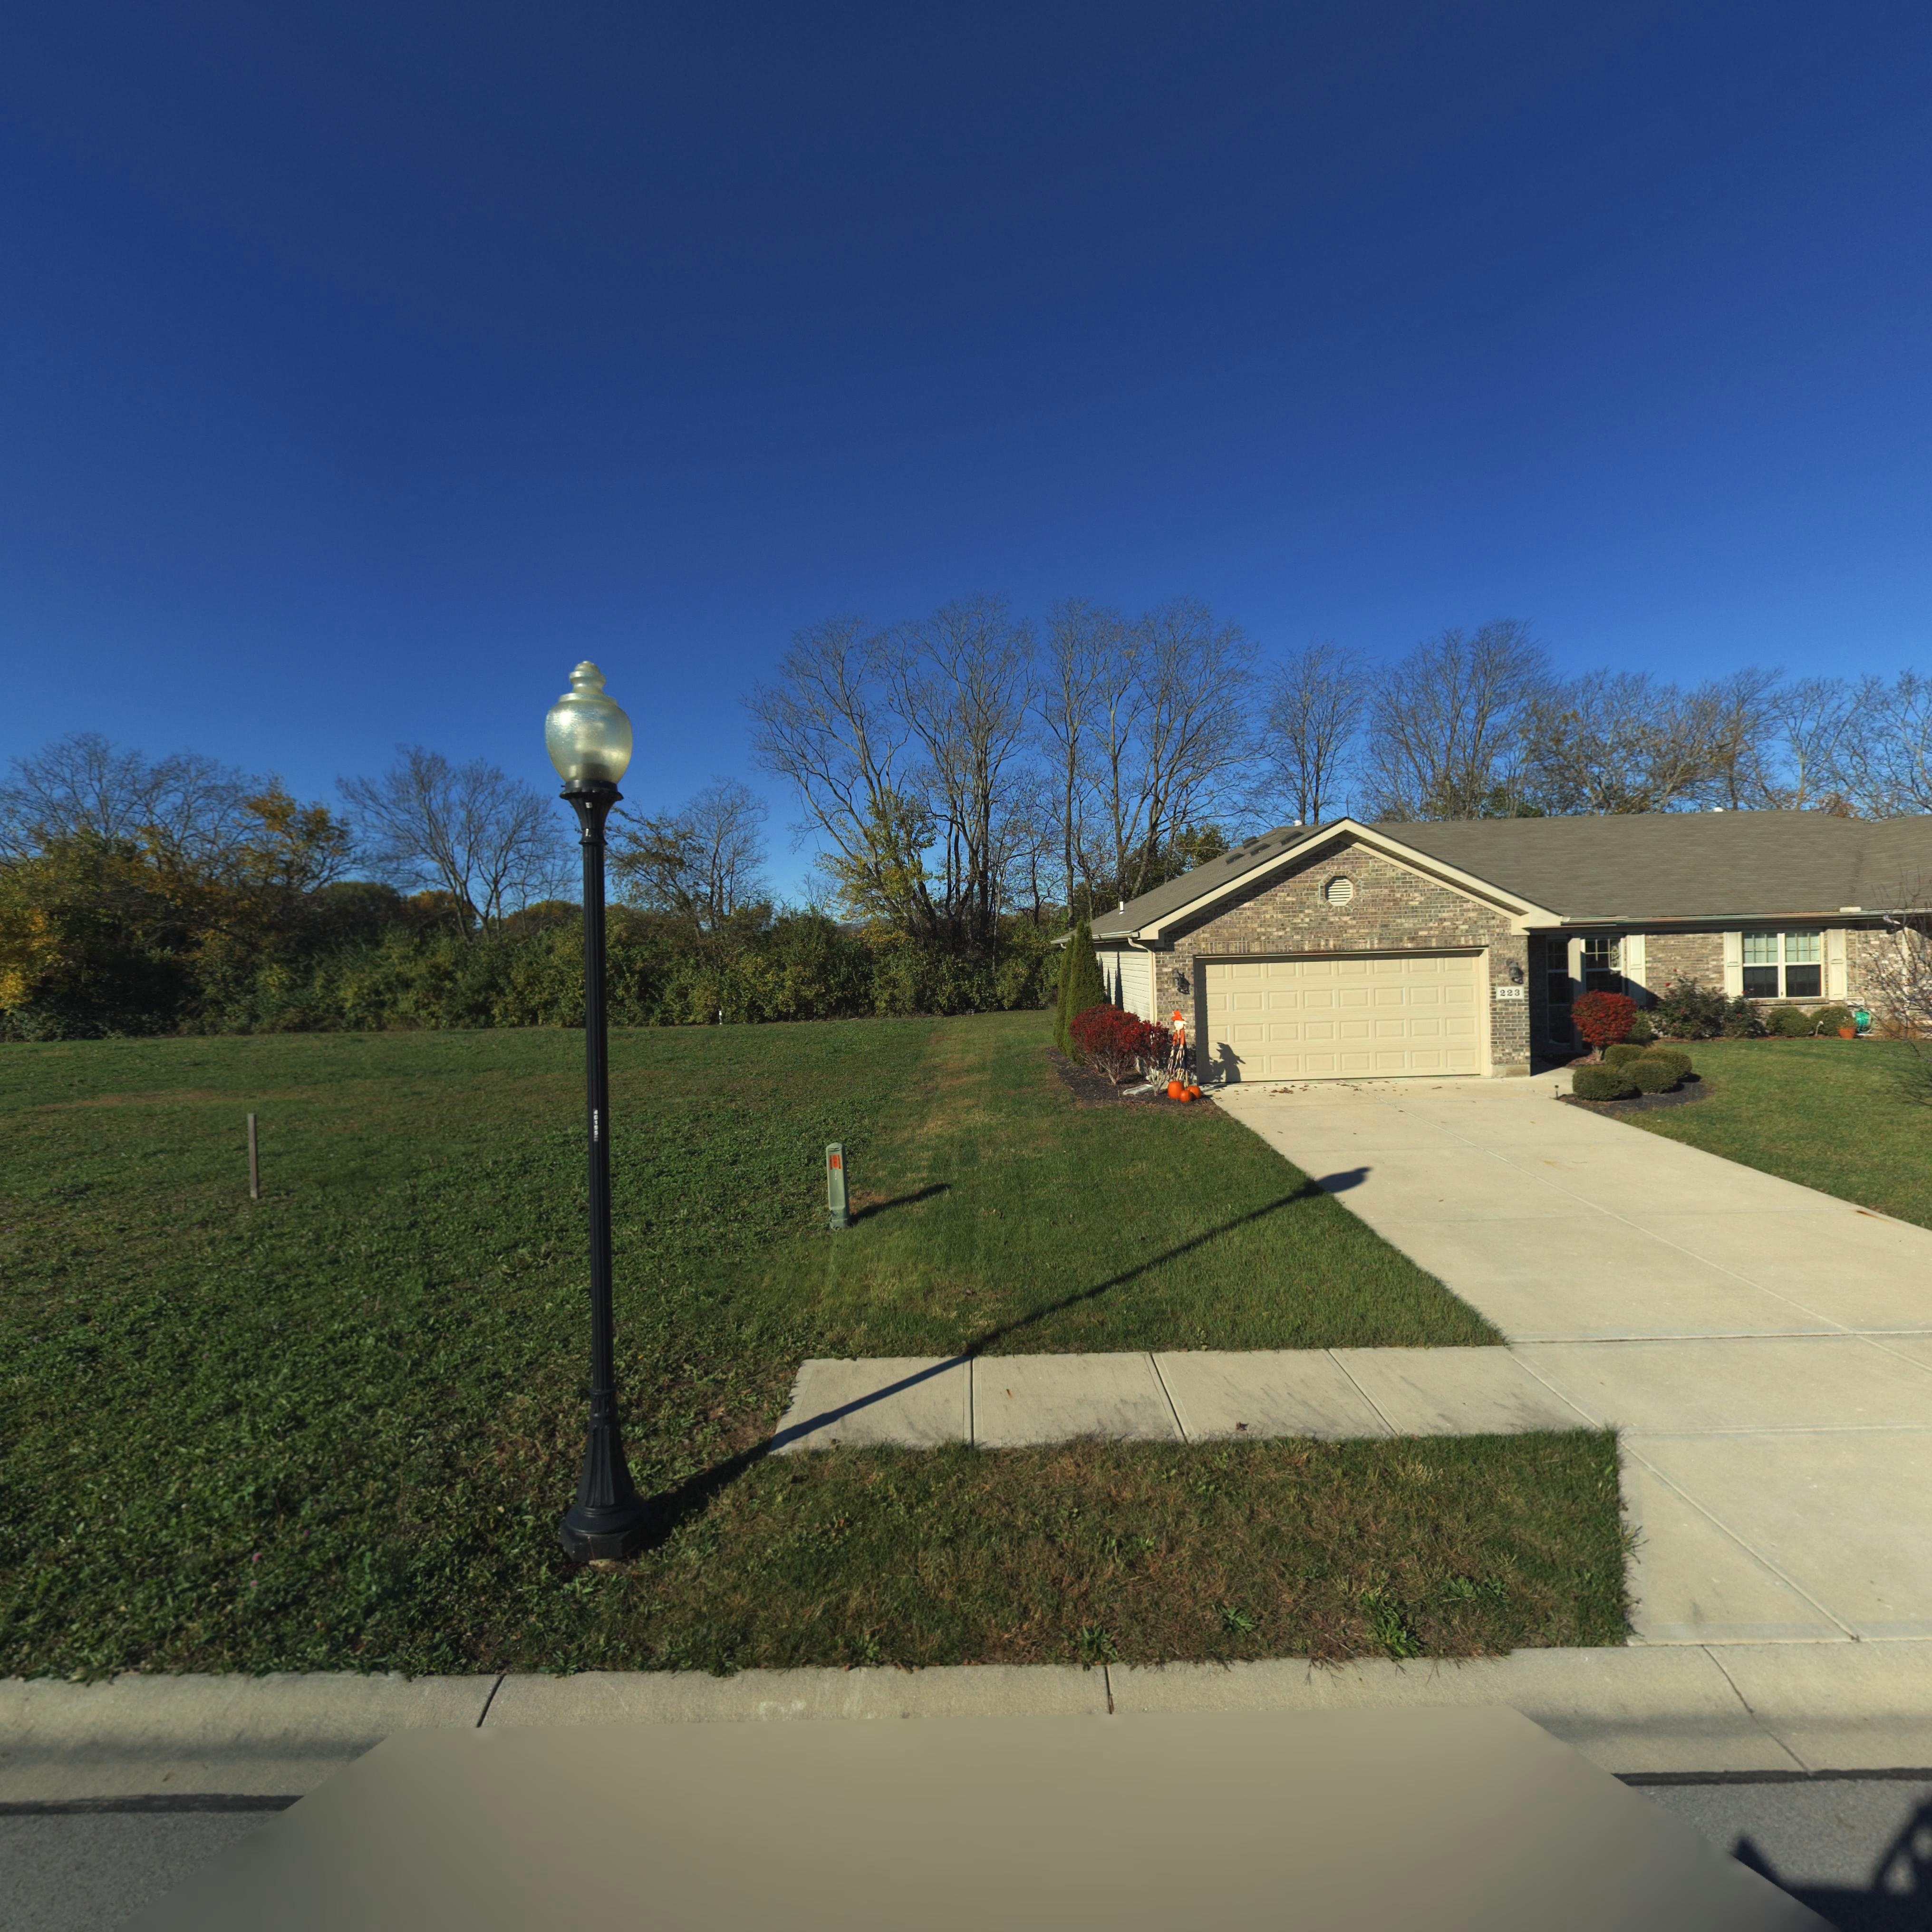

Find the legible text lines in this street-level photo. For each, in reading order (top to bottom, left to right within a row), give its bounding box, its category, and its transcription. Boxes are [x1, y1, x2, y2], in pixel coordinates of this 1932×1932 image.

[1499, 988, 1521, 997] StreetNumber: 223